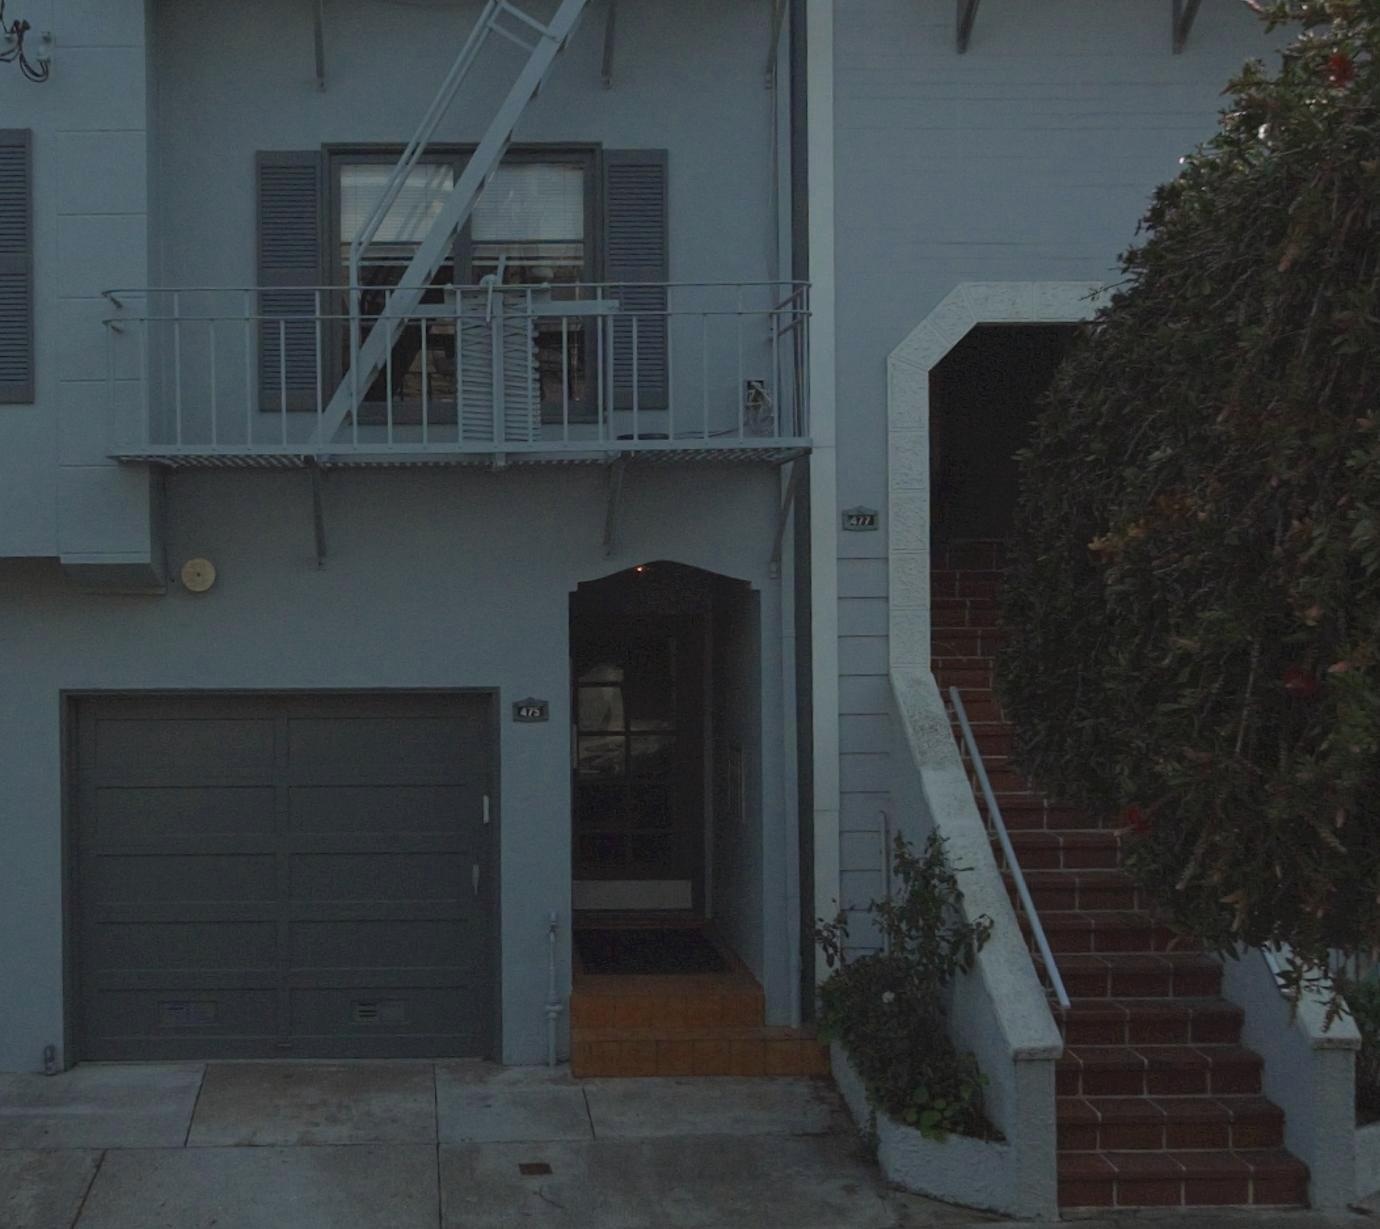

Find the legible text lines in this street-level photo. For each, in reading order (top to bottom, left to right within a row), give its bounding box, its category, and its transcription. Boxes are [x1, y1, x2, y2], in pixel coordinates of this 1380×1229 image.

[850, 515, 872, 525] StreetNumber: 477
[520, 707, 540, 717] StreetNumber: 475